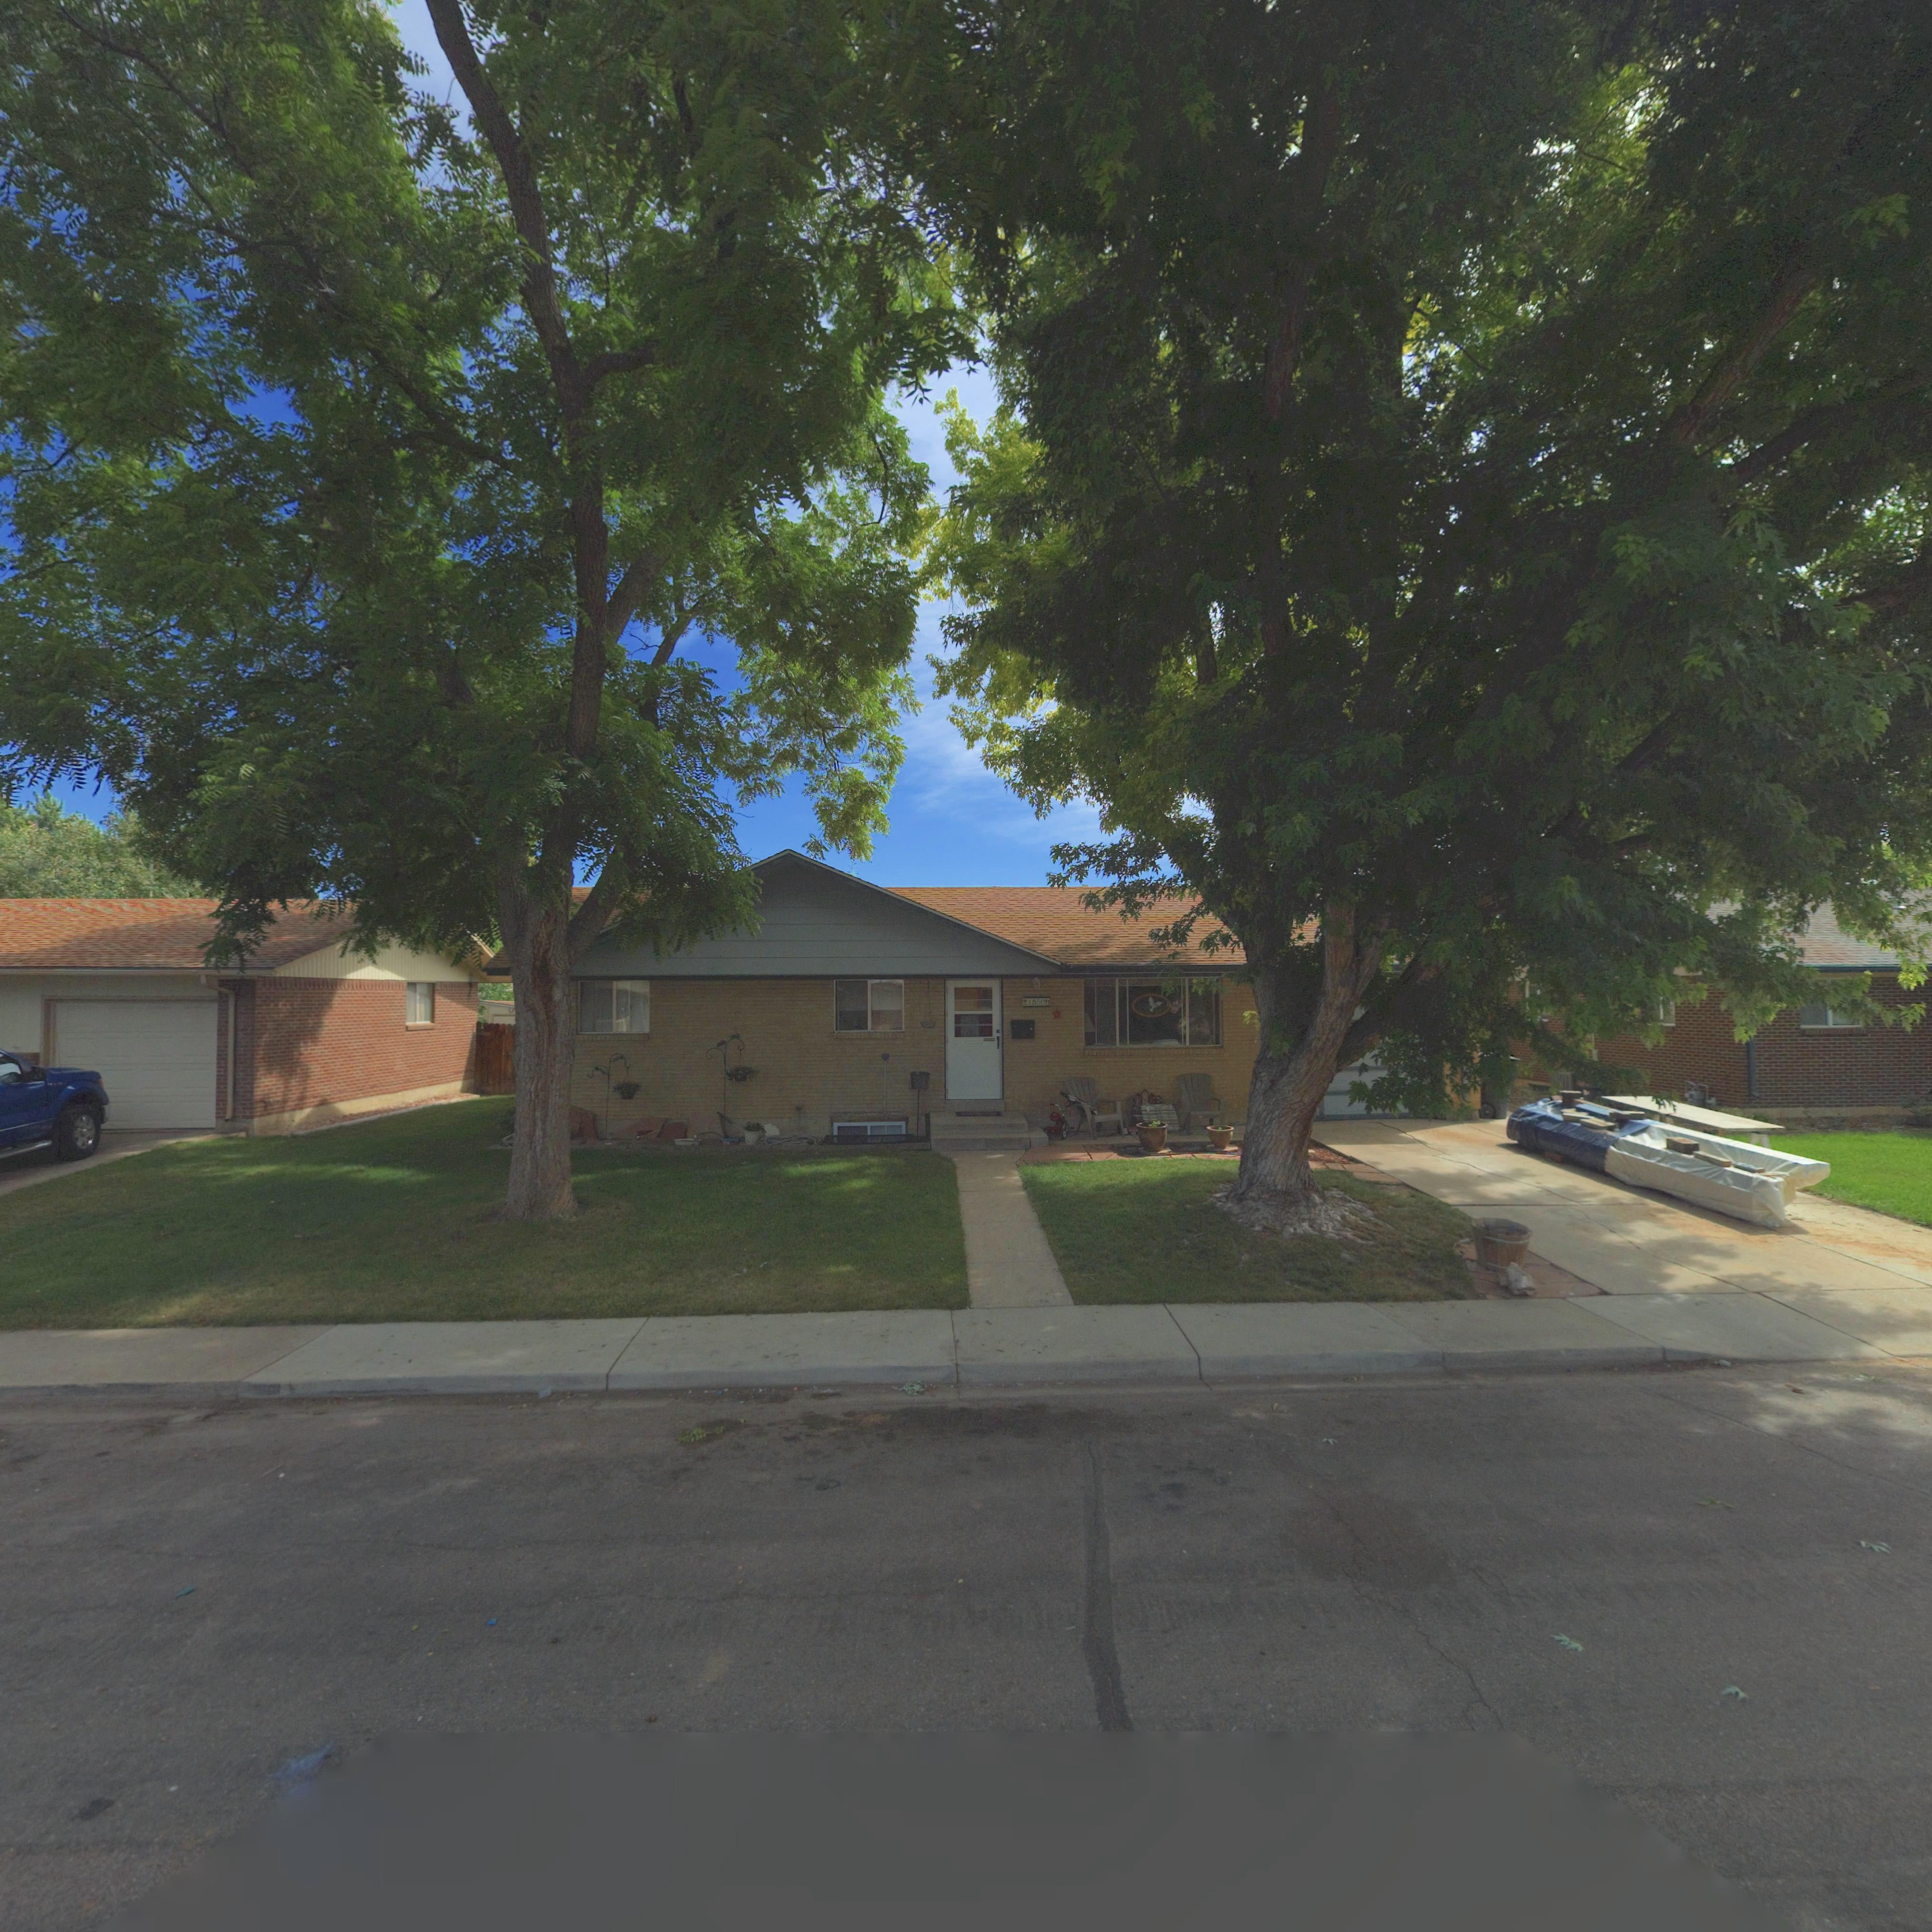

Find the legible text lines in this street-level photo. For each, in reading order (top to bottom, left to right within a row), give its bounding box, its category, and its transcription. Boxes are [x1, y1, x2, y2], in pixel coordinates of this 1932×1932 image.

[1028, 999, 1045, 1005] StreetNumber: 1850